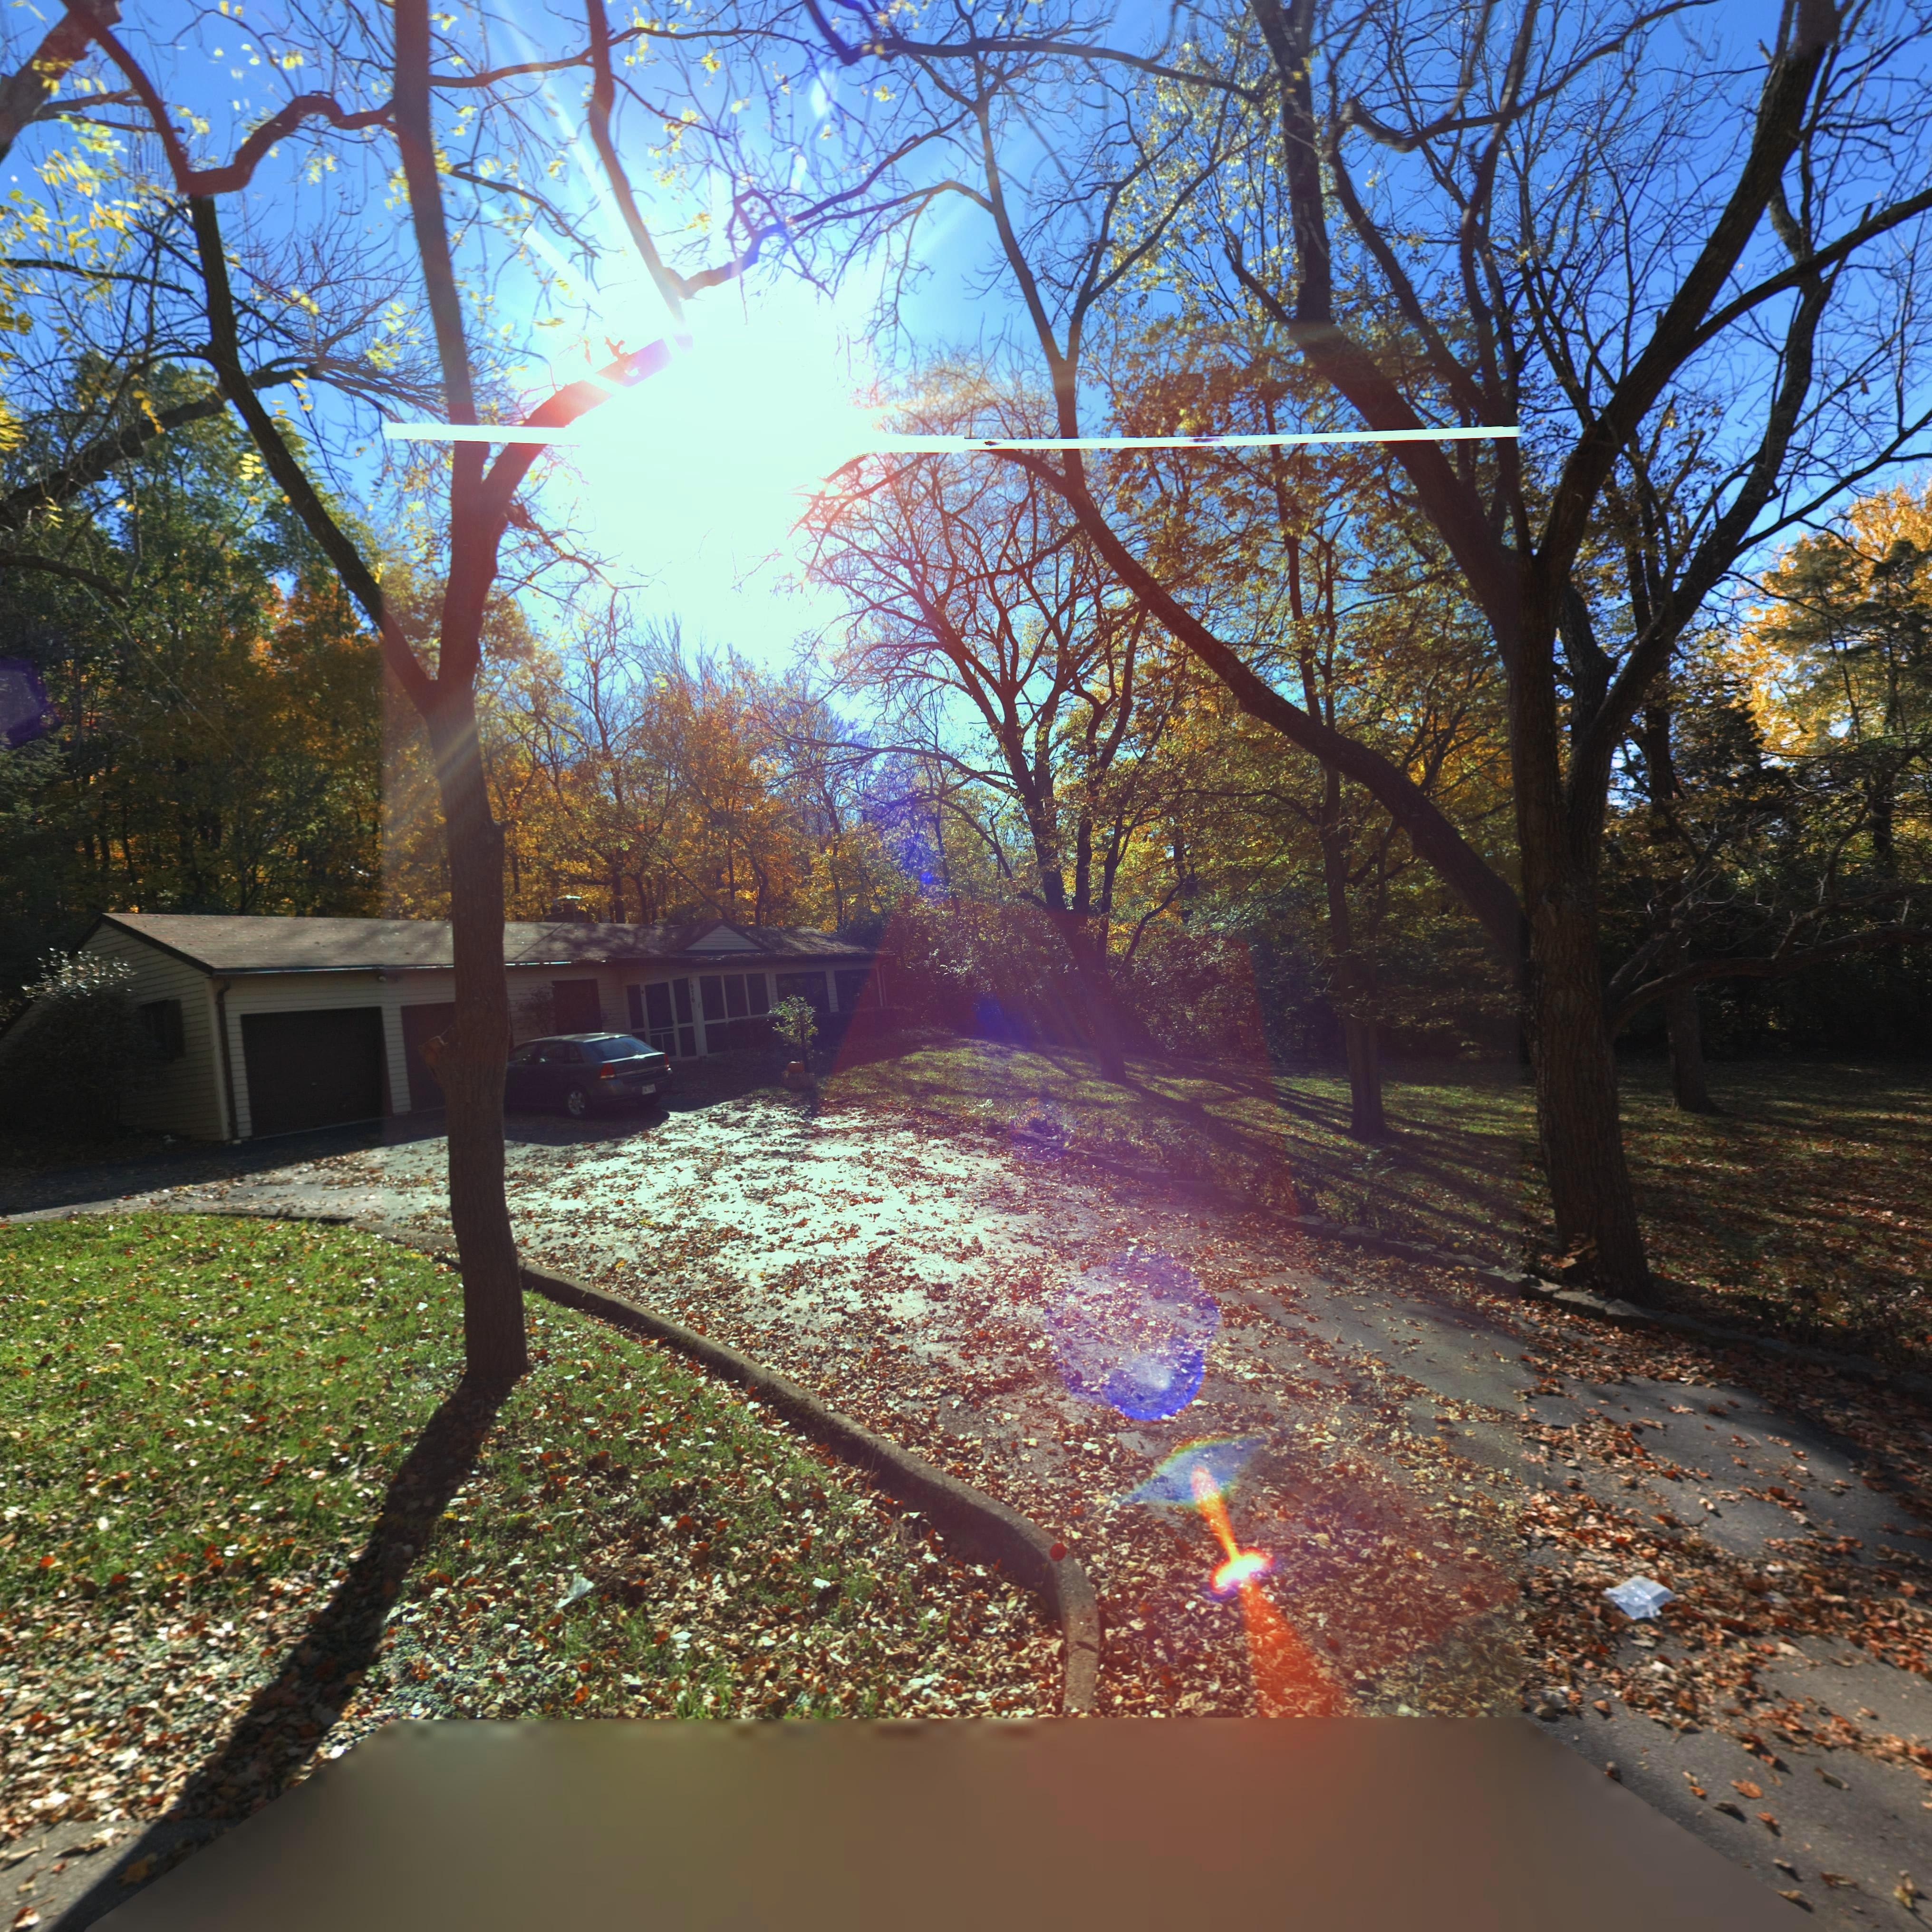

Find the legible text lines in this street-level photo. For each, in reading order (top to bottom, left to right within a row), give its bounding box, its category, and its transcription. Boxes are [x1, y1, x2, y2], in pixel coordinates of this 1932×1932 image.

[688, 983, 696, 1004] StreetNumber: 976